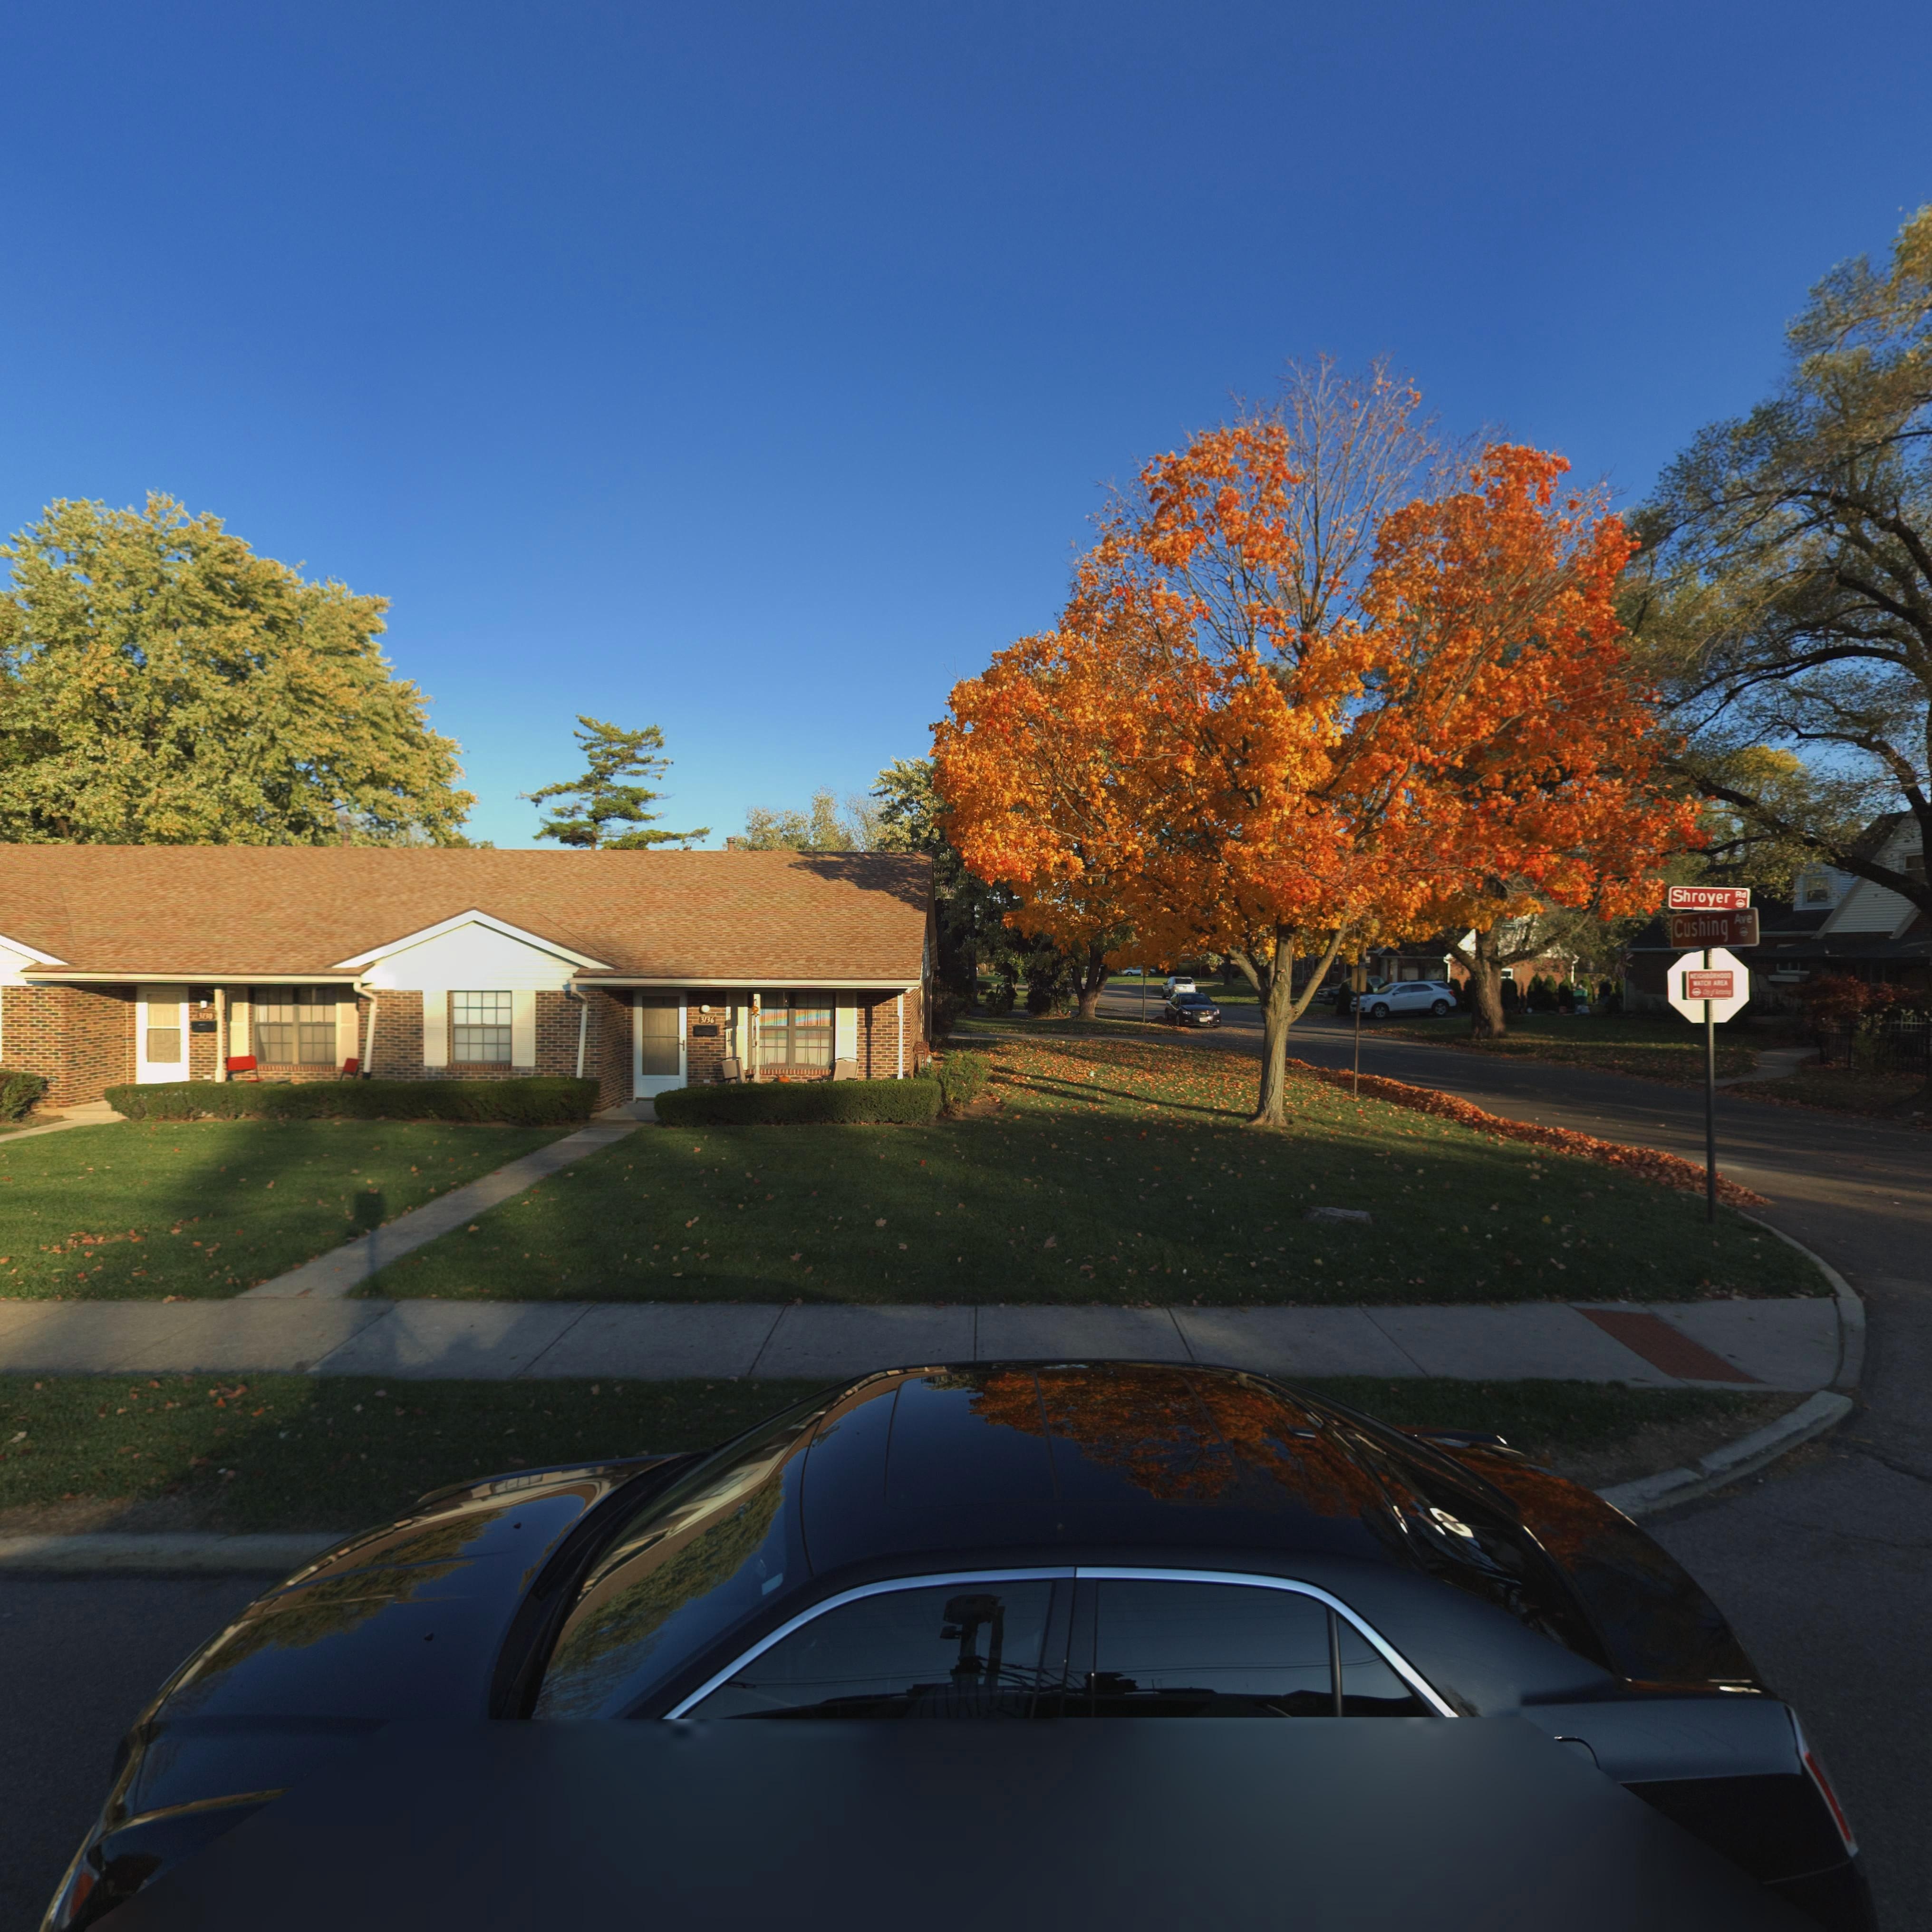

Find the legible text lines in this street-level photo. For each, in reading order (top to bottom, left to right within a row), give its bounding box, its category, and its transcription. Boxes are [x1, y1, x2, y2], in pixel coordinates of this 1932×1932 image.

[1671, 889, 1748, 908] StreetName: Shroyer Rd
[1673, 912, 1753, 944] StreetName: Cushing Ave
[197, 1012, 214, 1020] StreetNumber: 3*3*
[700, 1015, 716, 1024] StreetNumber: 3136